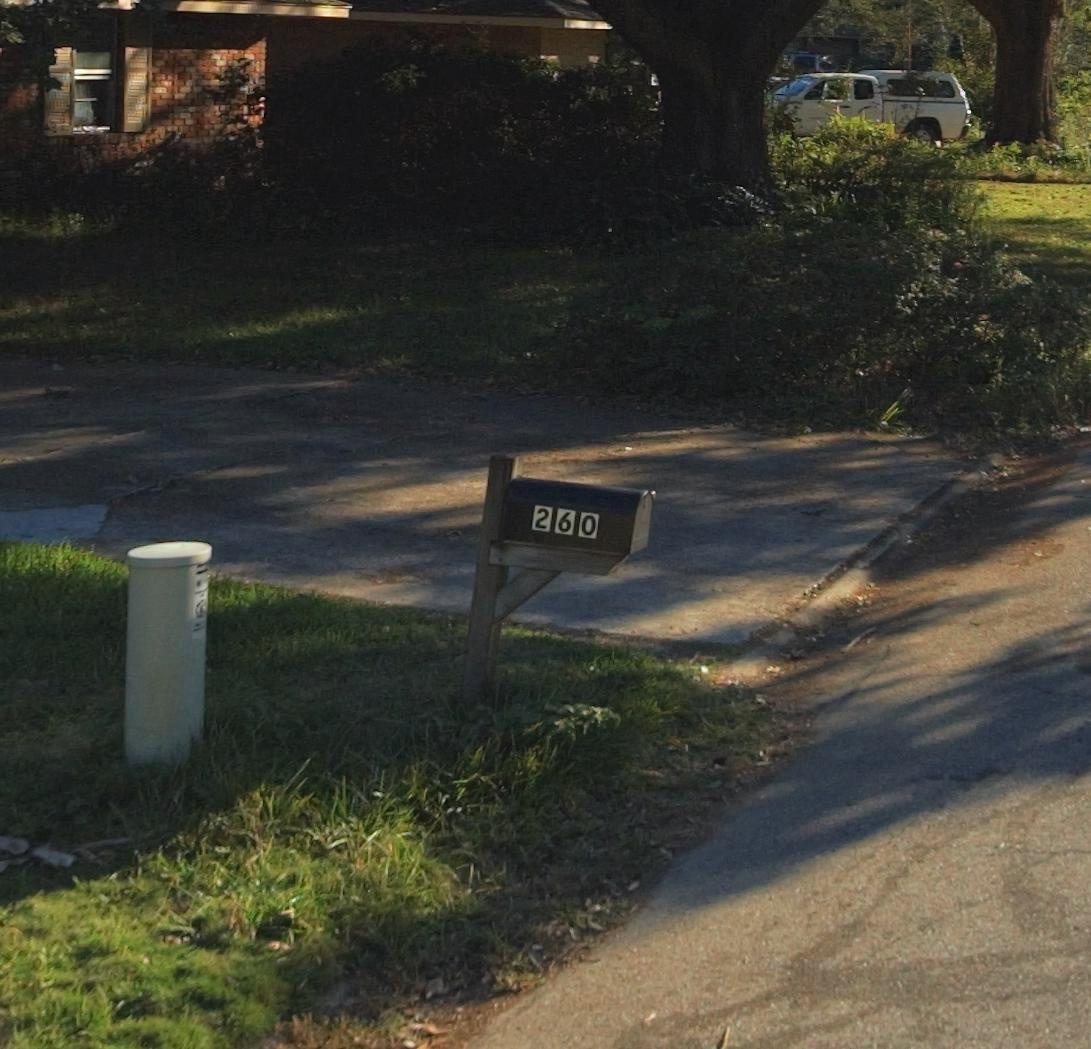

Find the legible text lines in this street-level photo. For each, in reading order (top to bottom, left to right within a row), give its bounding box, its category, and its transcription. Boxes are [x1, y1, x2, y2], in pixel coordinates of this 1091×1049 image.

[532, 504, 601, 540] StreetNumber: 260